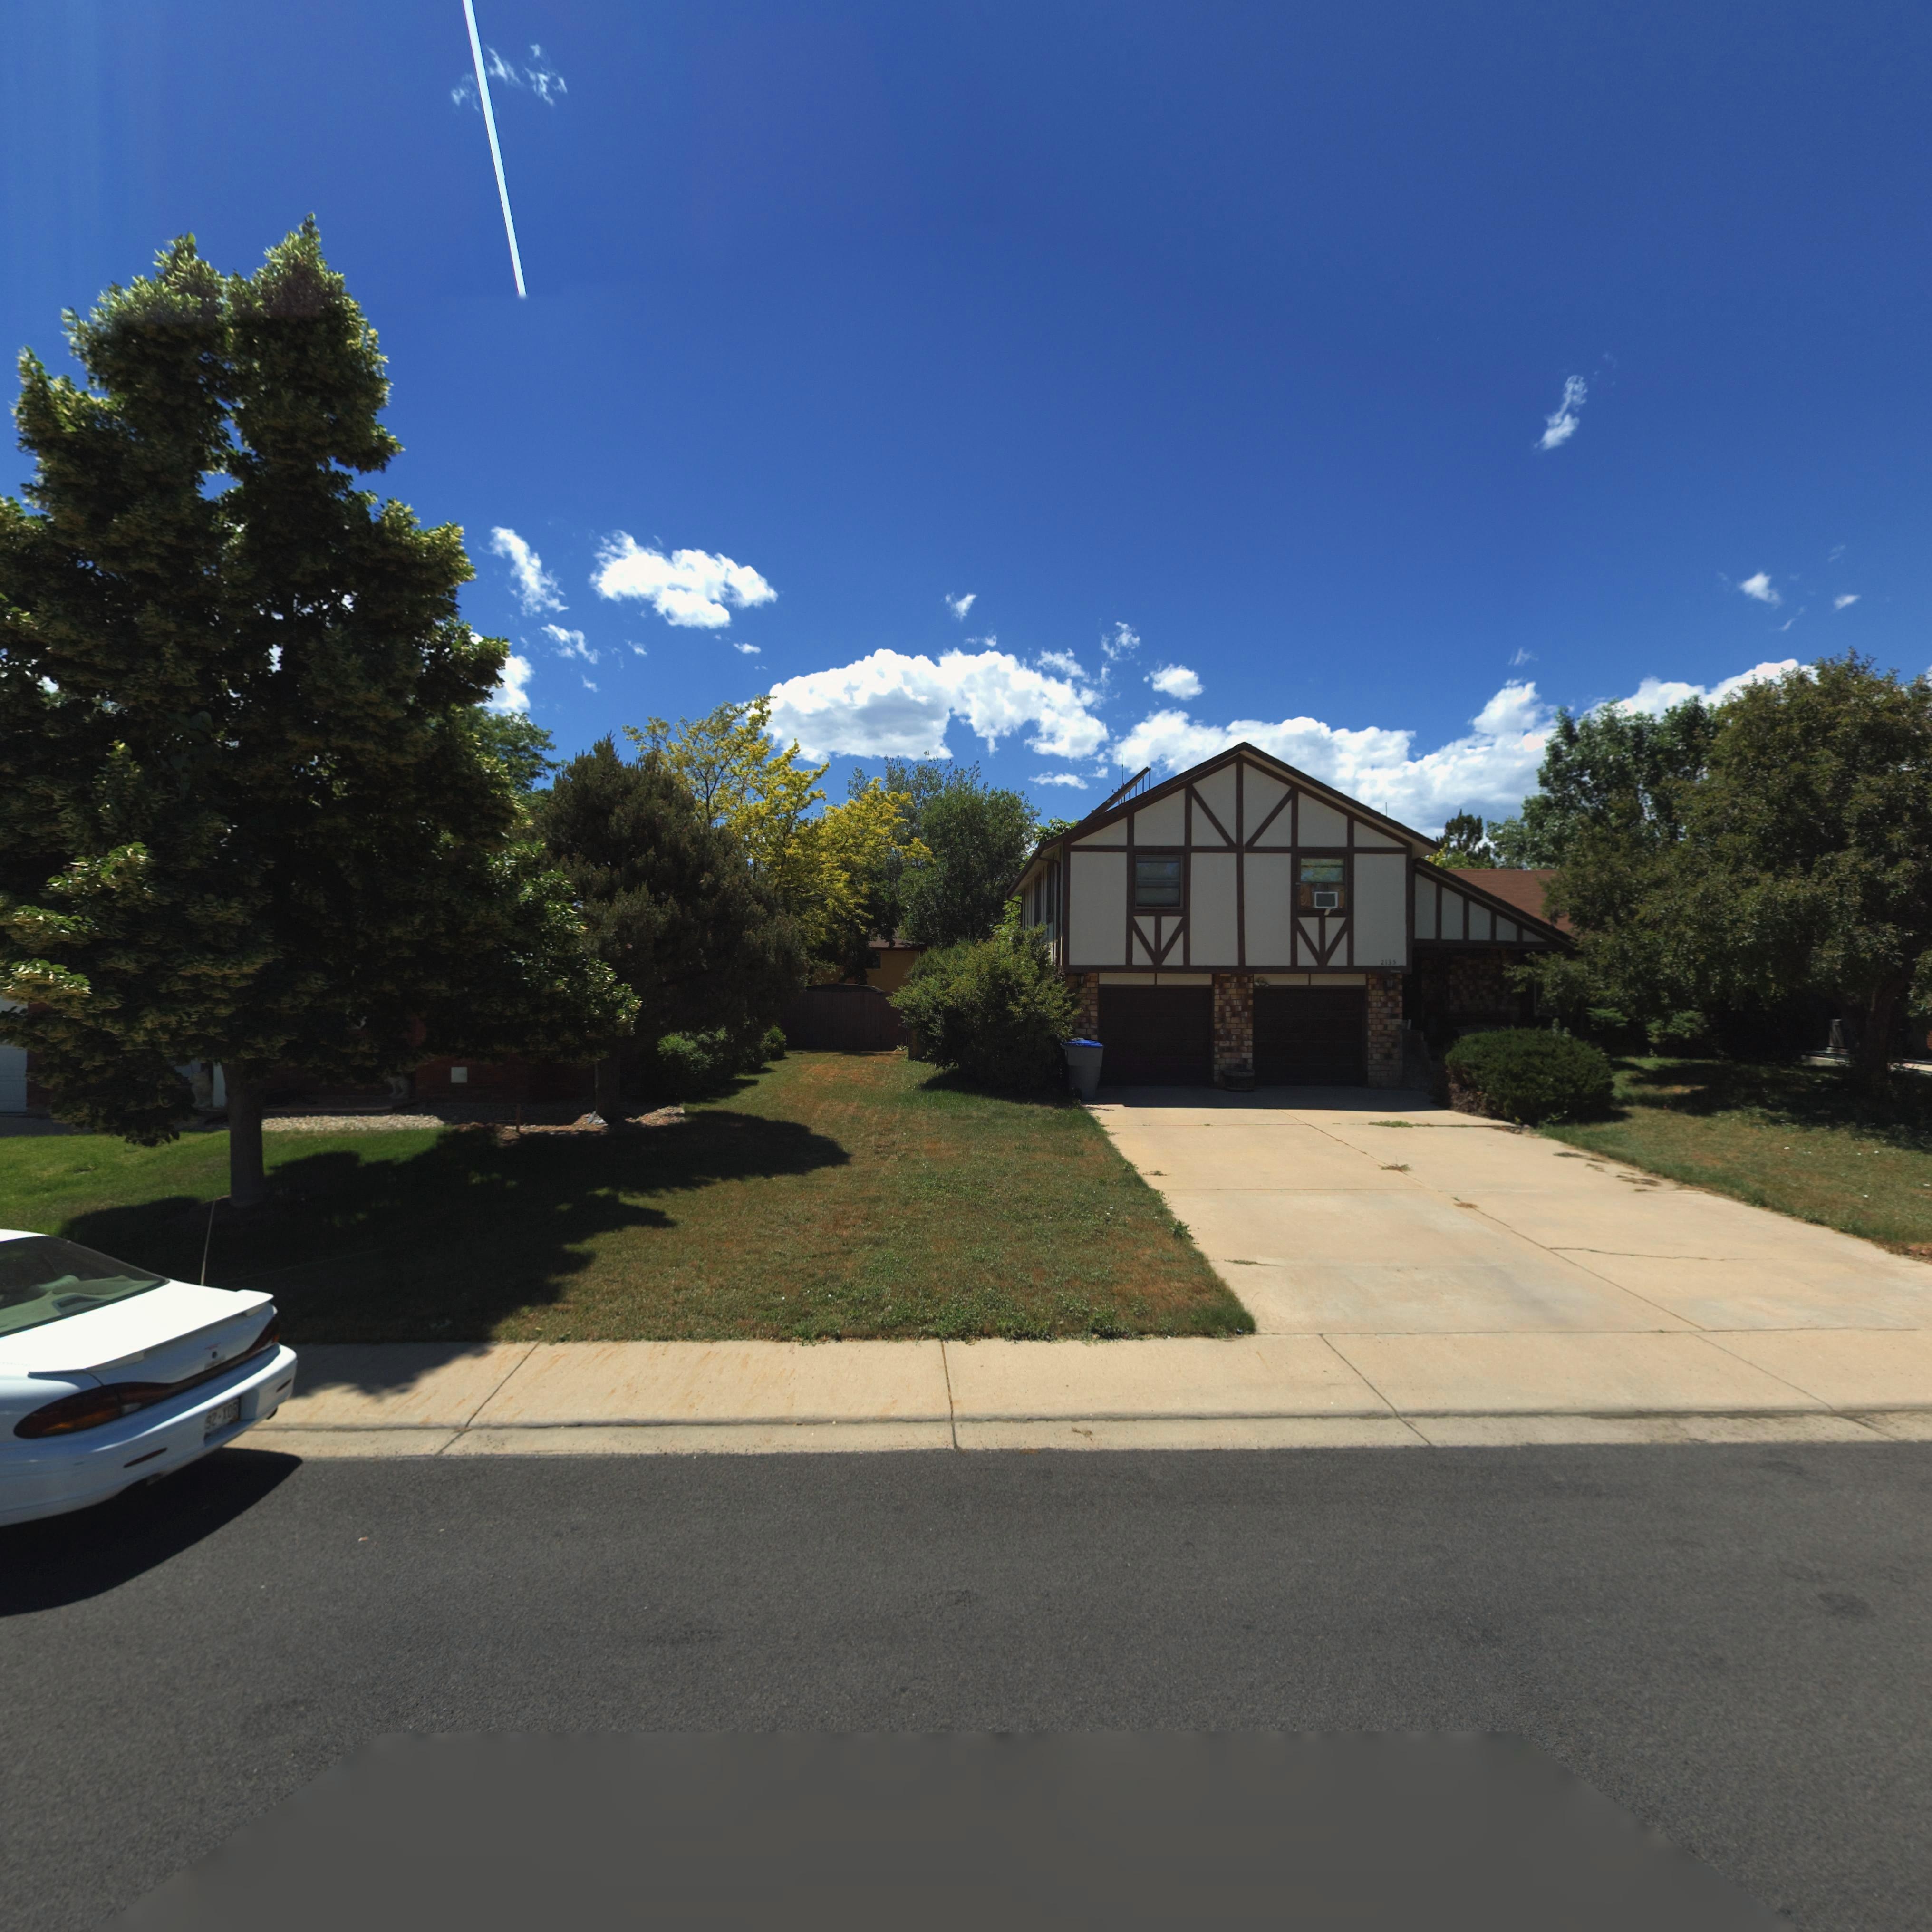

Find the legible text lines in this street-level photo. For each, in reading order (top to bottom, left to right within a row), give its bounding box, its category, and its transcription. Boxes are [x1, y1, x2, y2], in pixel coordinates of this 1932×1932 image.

[1380, 959, 1396, 965] StreetNumber: 2135